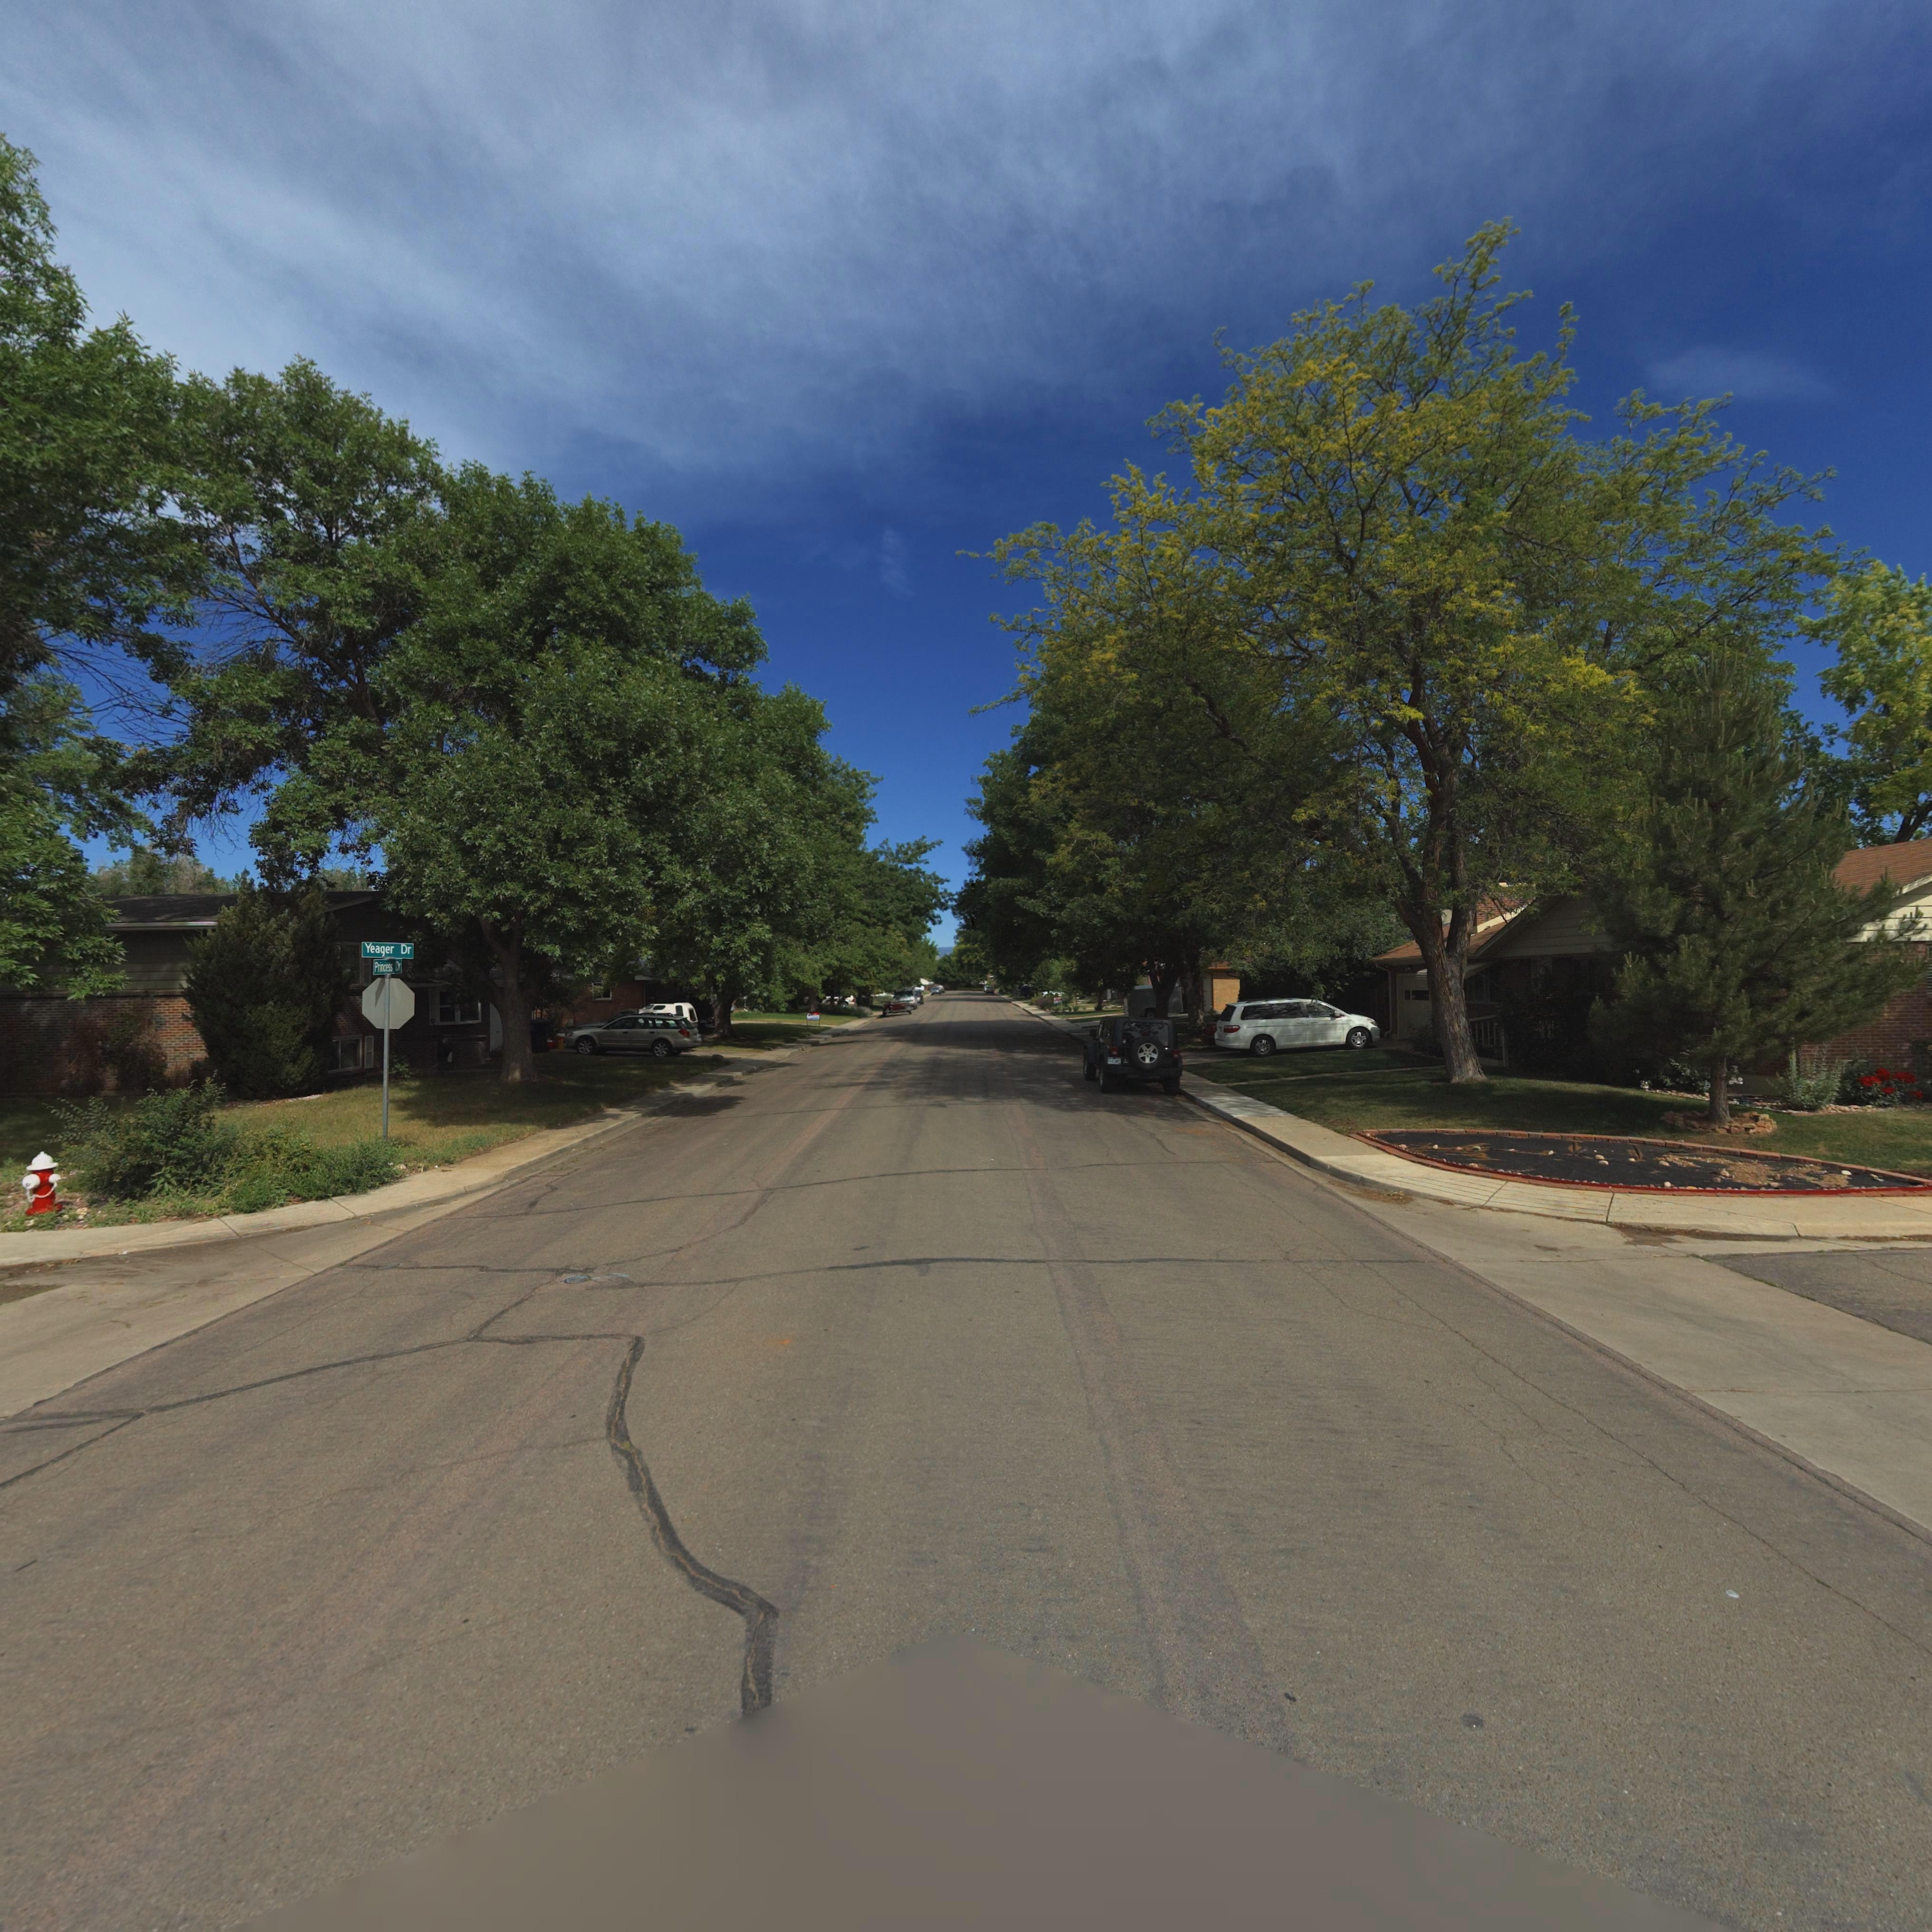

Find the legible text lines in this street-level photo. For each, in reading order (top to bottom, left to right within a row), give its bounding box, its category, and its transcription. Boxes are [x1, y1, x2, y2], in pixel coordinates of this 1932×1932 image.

[364, 942, 412, 956] StreetName: Yeager Dr
[374, 961, 401, 972] StreetName: Princess Dr